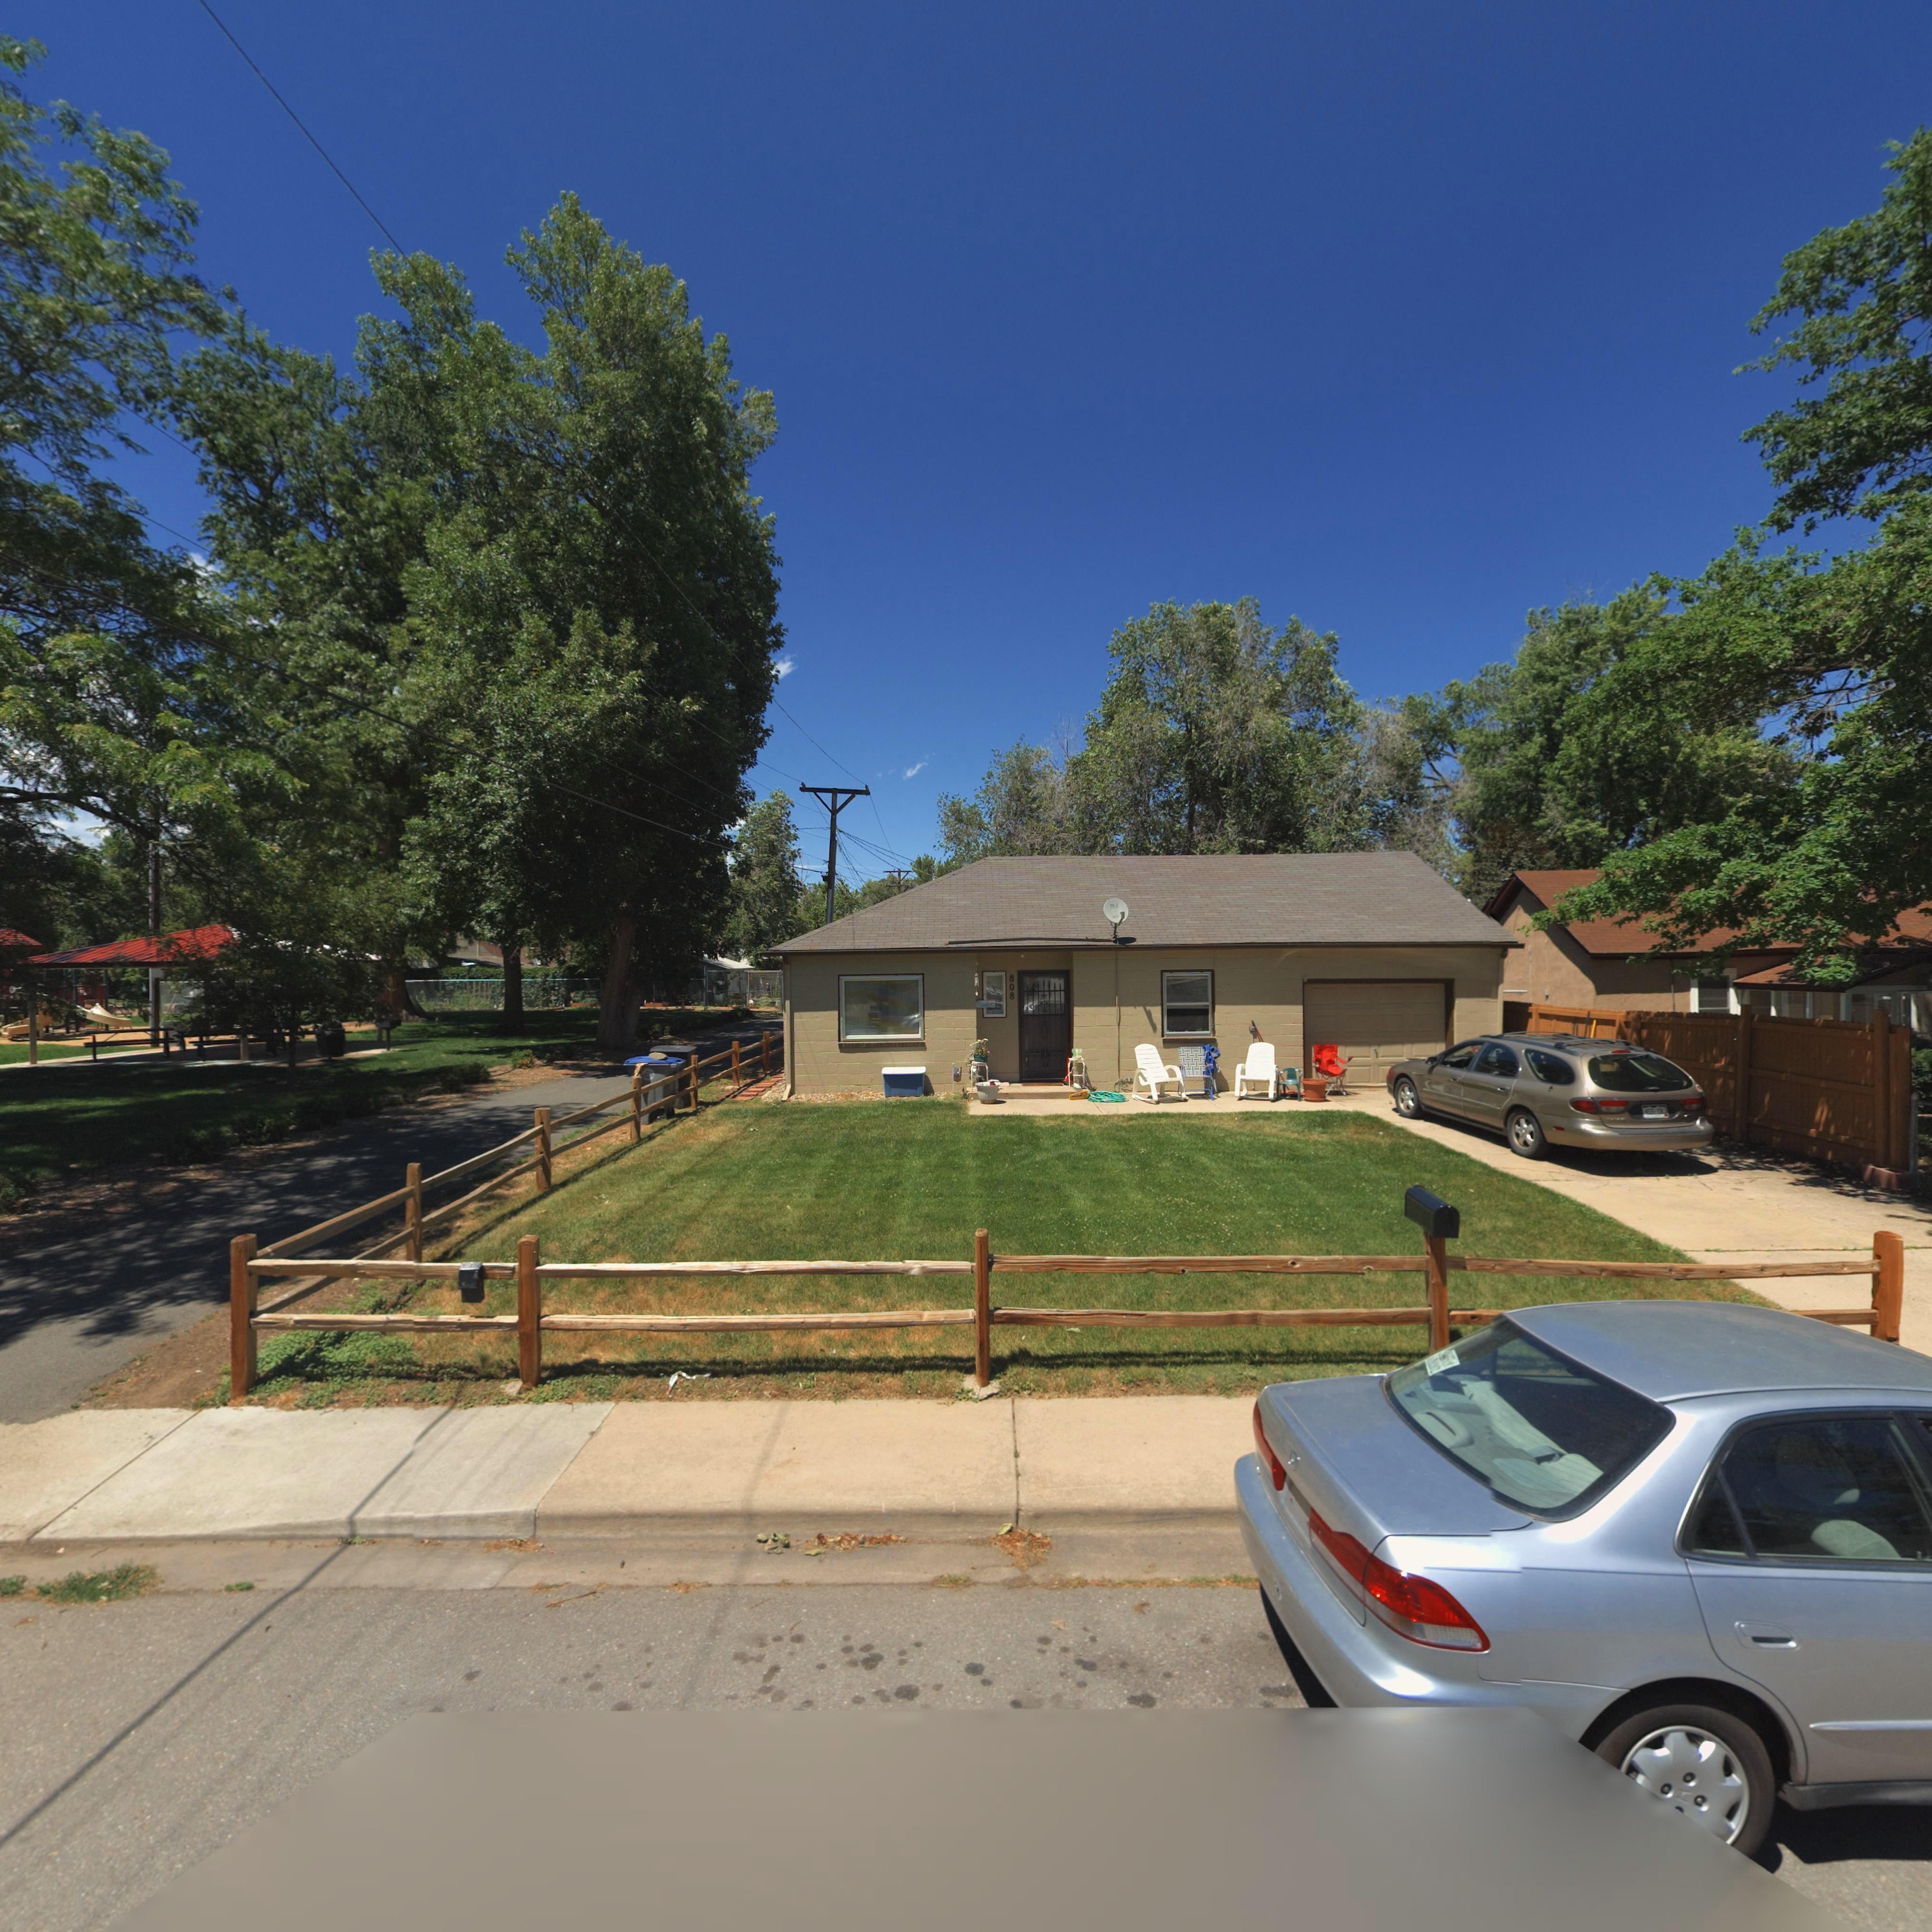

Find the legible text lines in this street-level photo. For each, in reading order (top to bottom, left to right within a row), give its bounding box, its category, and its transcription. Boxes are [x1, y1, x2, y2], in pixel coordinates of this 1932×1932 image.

[1009, 974, 1014, 1000] StreetNumber: 808